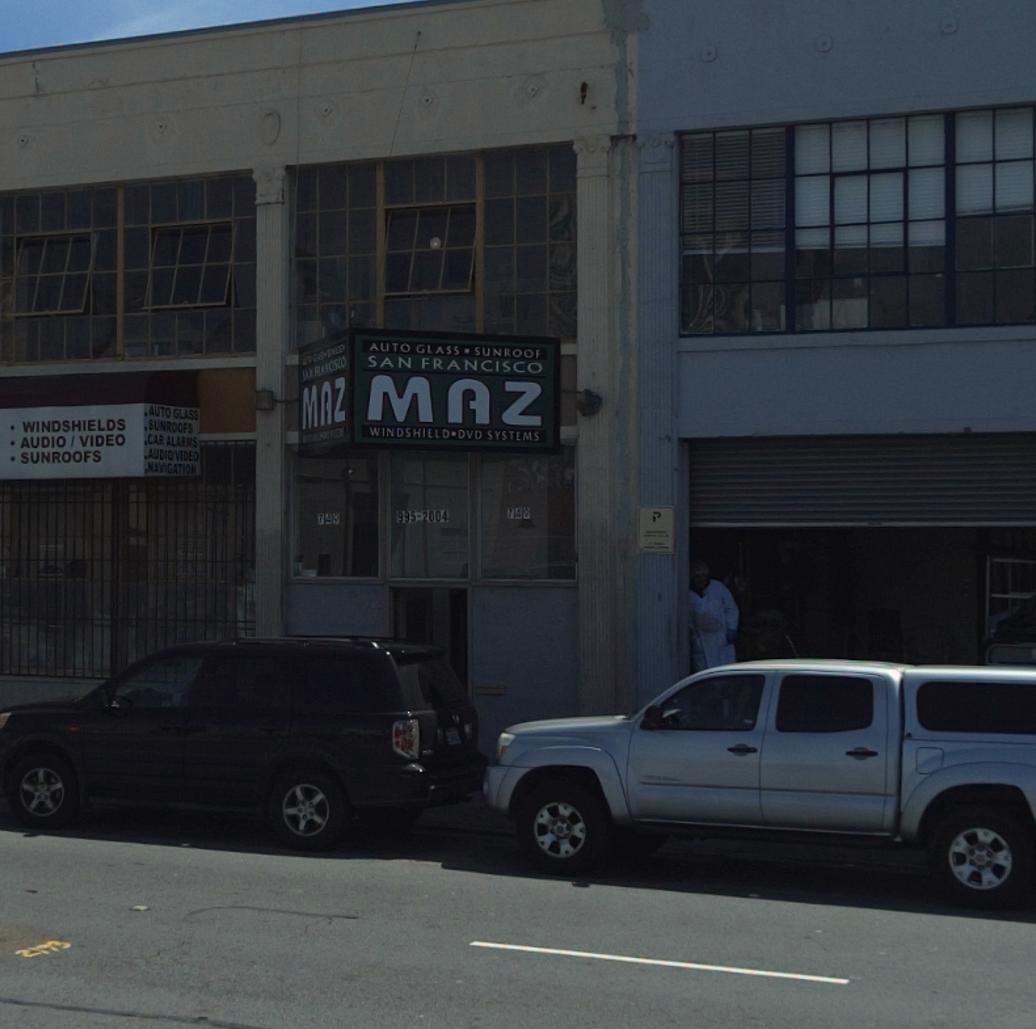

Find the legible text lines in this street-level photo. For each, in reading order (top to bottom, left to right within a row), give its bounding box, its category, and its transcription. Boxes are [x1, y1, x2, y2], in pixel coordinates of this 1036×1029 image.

[367, 341, 542, 360] None: AUTO GLASS - SUNROOF
[366, 354, 543, 374] None: SAN FRANCISCO
[300, 372, 346, 432] BusinessName: MAZ
[363, 373, 545, 427] BusinessName: MAZ
[149, 404, 199, 422] None: AUTO GLASS
[18, 433, 125, 450] None: AUDIO / VIDEO
[20, 417, 125, 435] None: WINDSHIELDS
[147, 418, 195, 435] None: SUNROOFS
[147, 431, 199, 449] None: CAR ALARMS
[369, 425, 542, 442] None: WINDSHIELD-DVD SYSTEMS
[18, 449, 103, 464] None: SUNROOFS
[148, 446, 200, 462] None: AUDIO VIDEO
[147, 460, 197, 475] None: NAVIGATION
[397, 509, 447, 523] None: 995-2004